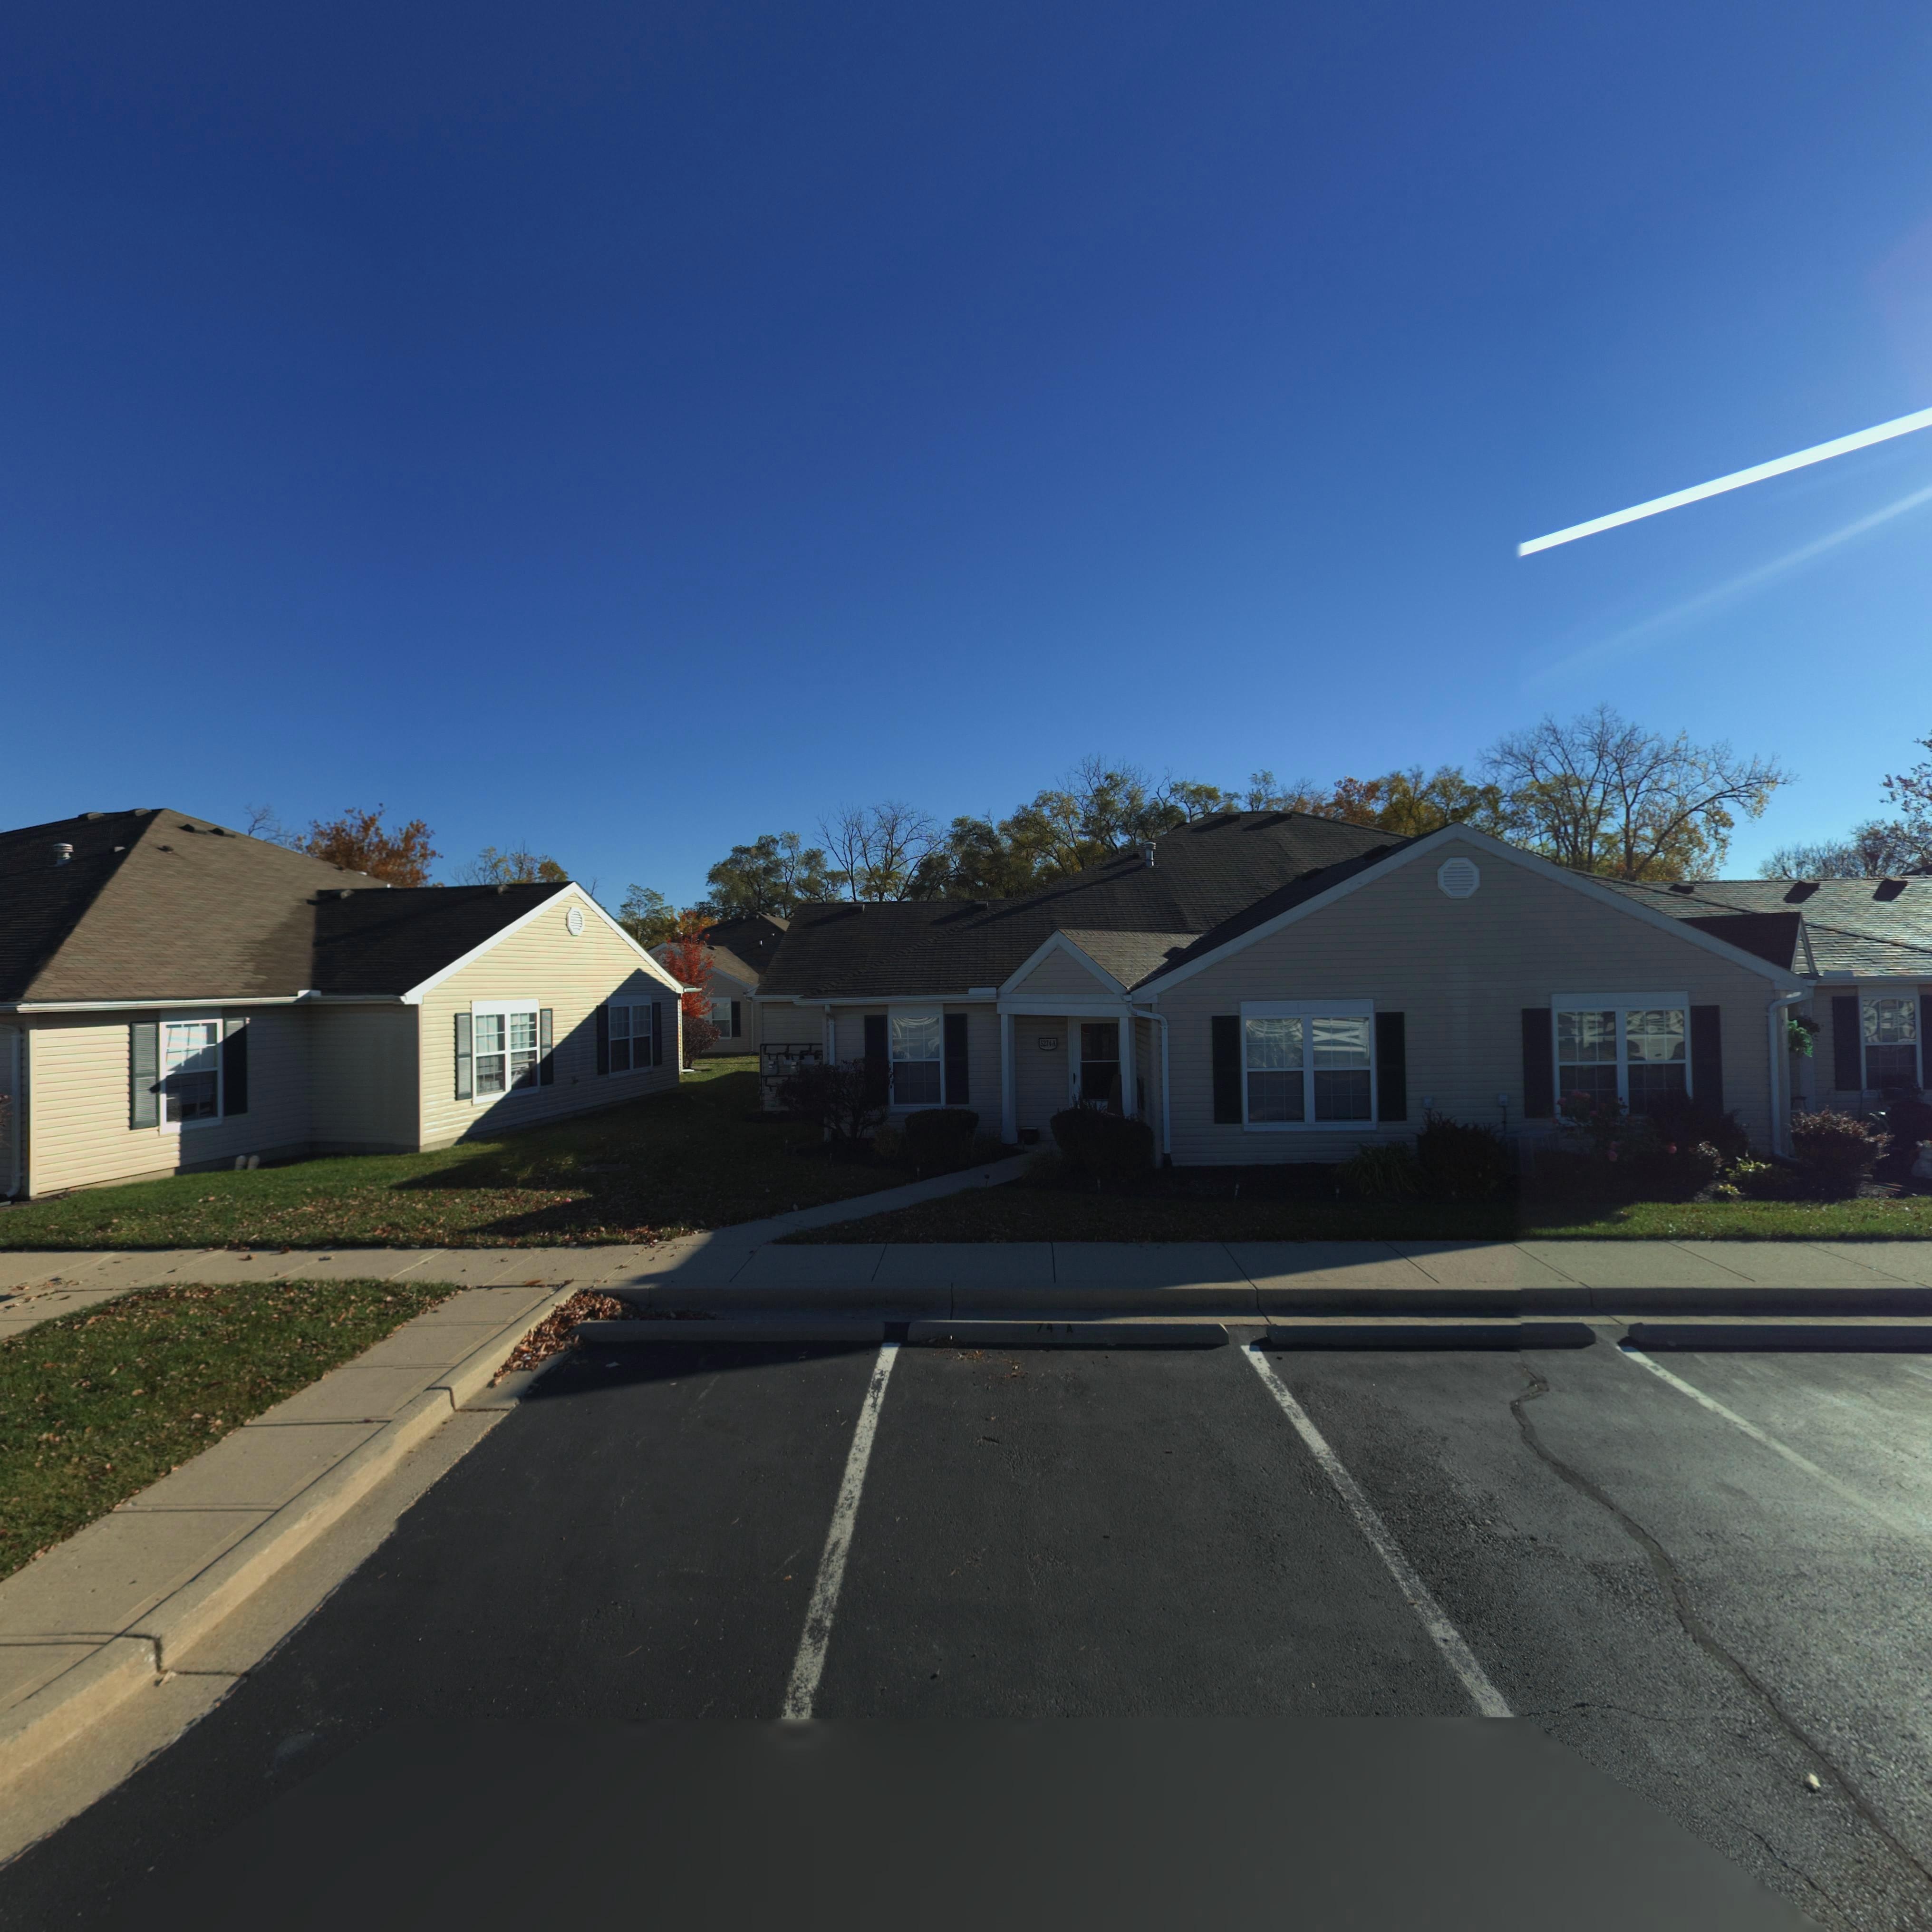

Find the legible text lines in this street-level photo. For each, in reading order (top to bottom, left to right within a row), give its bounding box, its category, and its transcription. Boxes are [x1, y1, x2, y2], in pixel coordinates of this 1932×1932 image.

[1039, 1039, 1056, 1047] StreetNumber: 5274-A